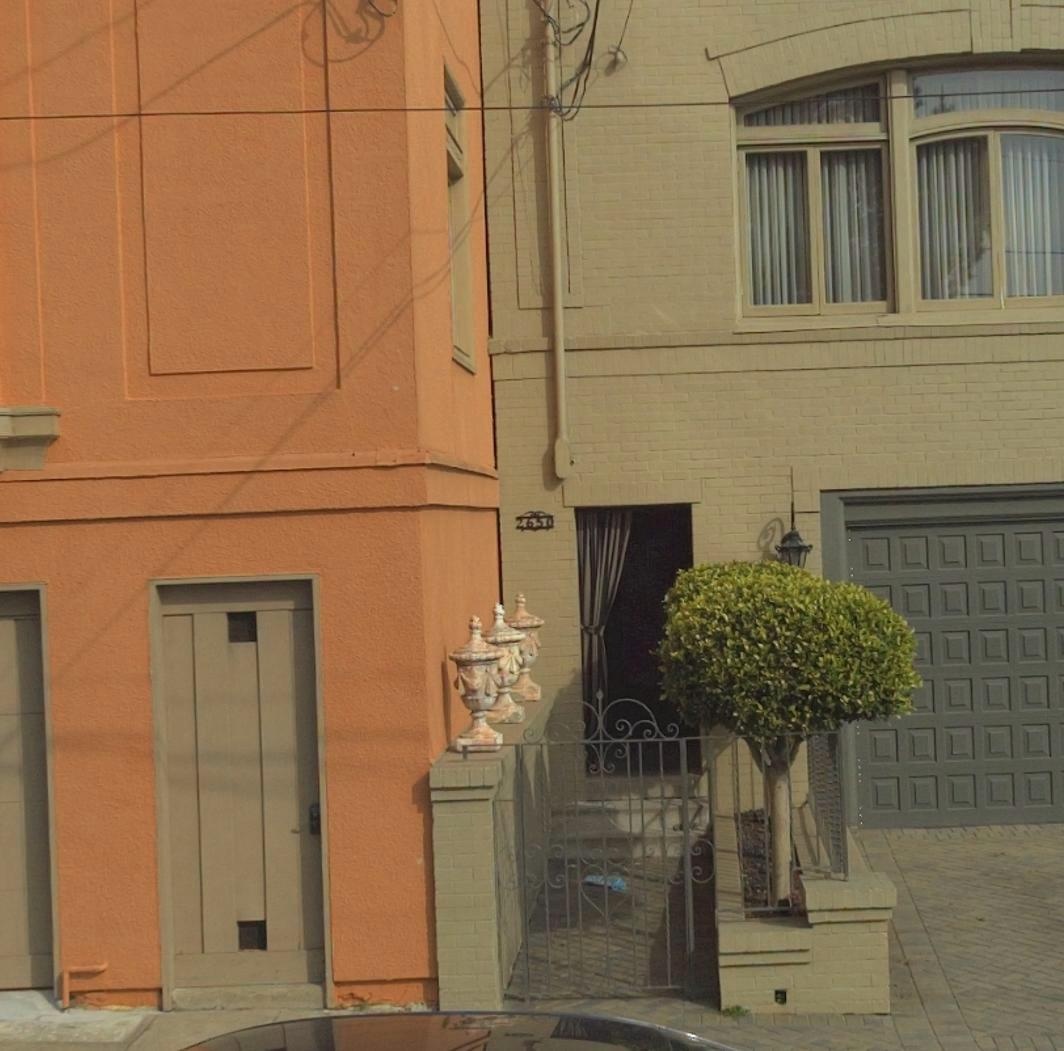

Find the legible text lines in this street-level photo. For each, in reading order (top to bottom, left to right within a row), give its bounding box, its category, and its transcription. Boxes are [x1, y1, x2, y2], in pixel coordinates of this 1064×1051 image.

[515, 516, 555, 529] StreetNumber: 2650